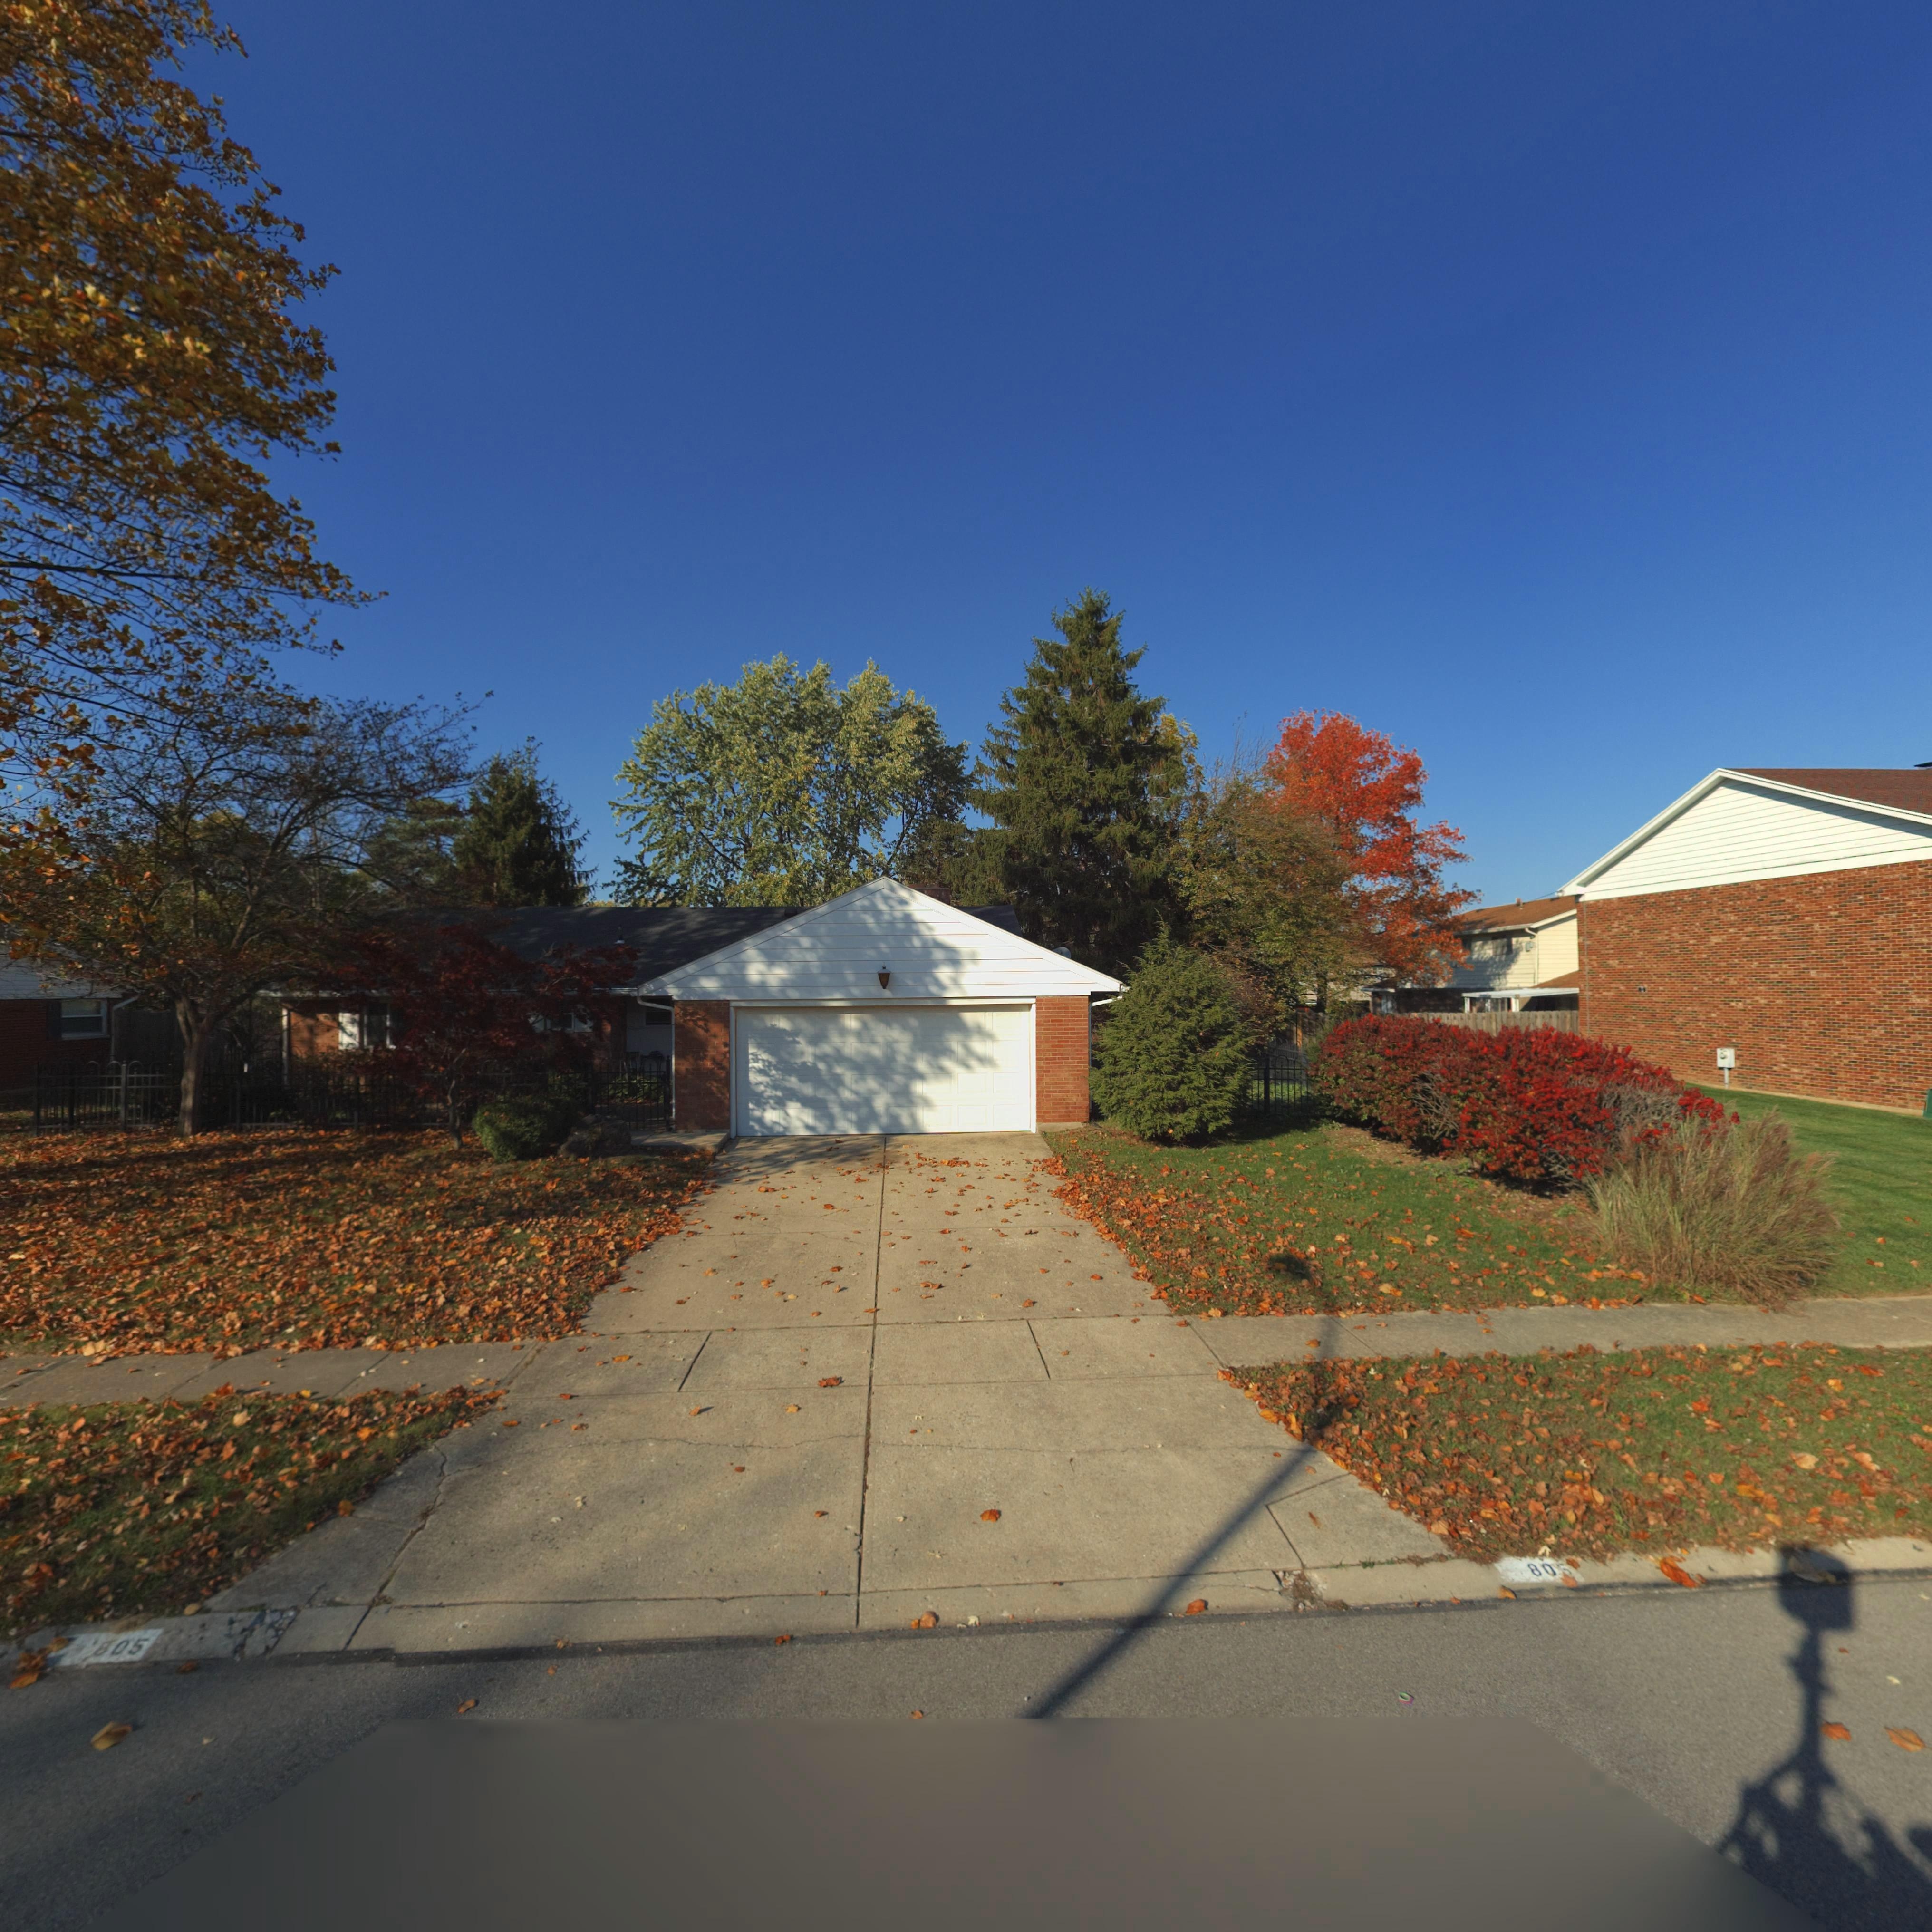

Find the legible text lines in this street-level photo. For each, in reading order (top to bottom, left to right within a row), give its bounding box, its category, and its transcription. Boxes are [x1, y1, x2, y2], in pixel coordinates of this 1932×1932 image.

[1526, 1563, 1576, 1577] StreetNumber: 80*
[88, 1635, 155, 1660] StreetNumber: 805